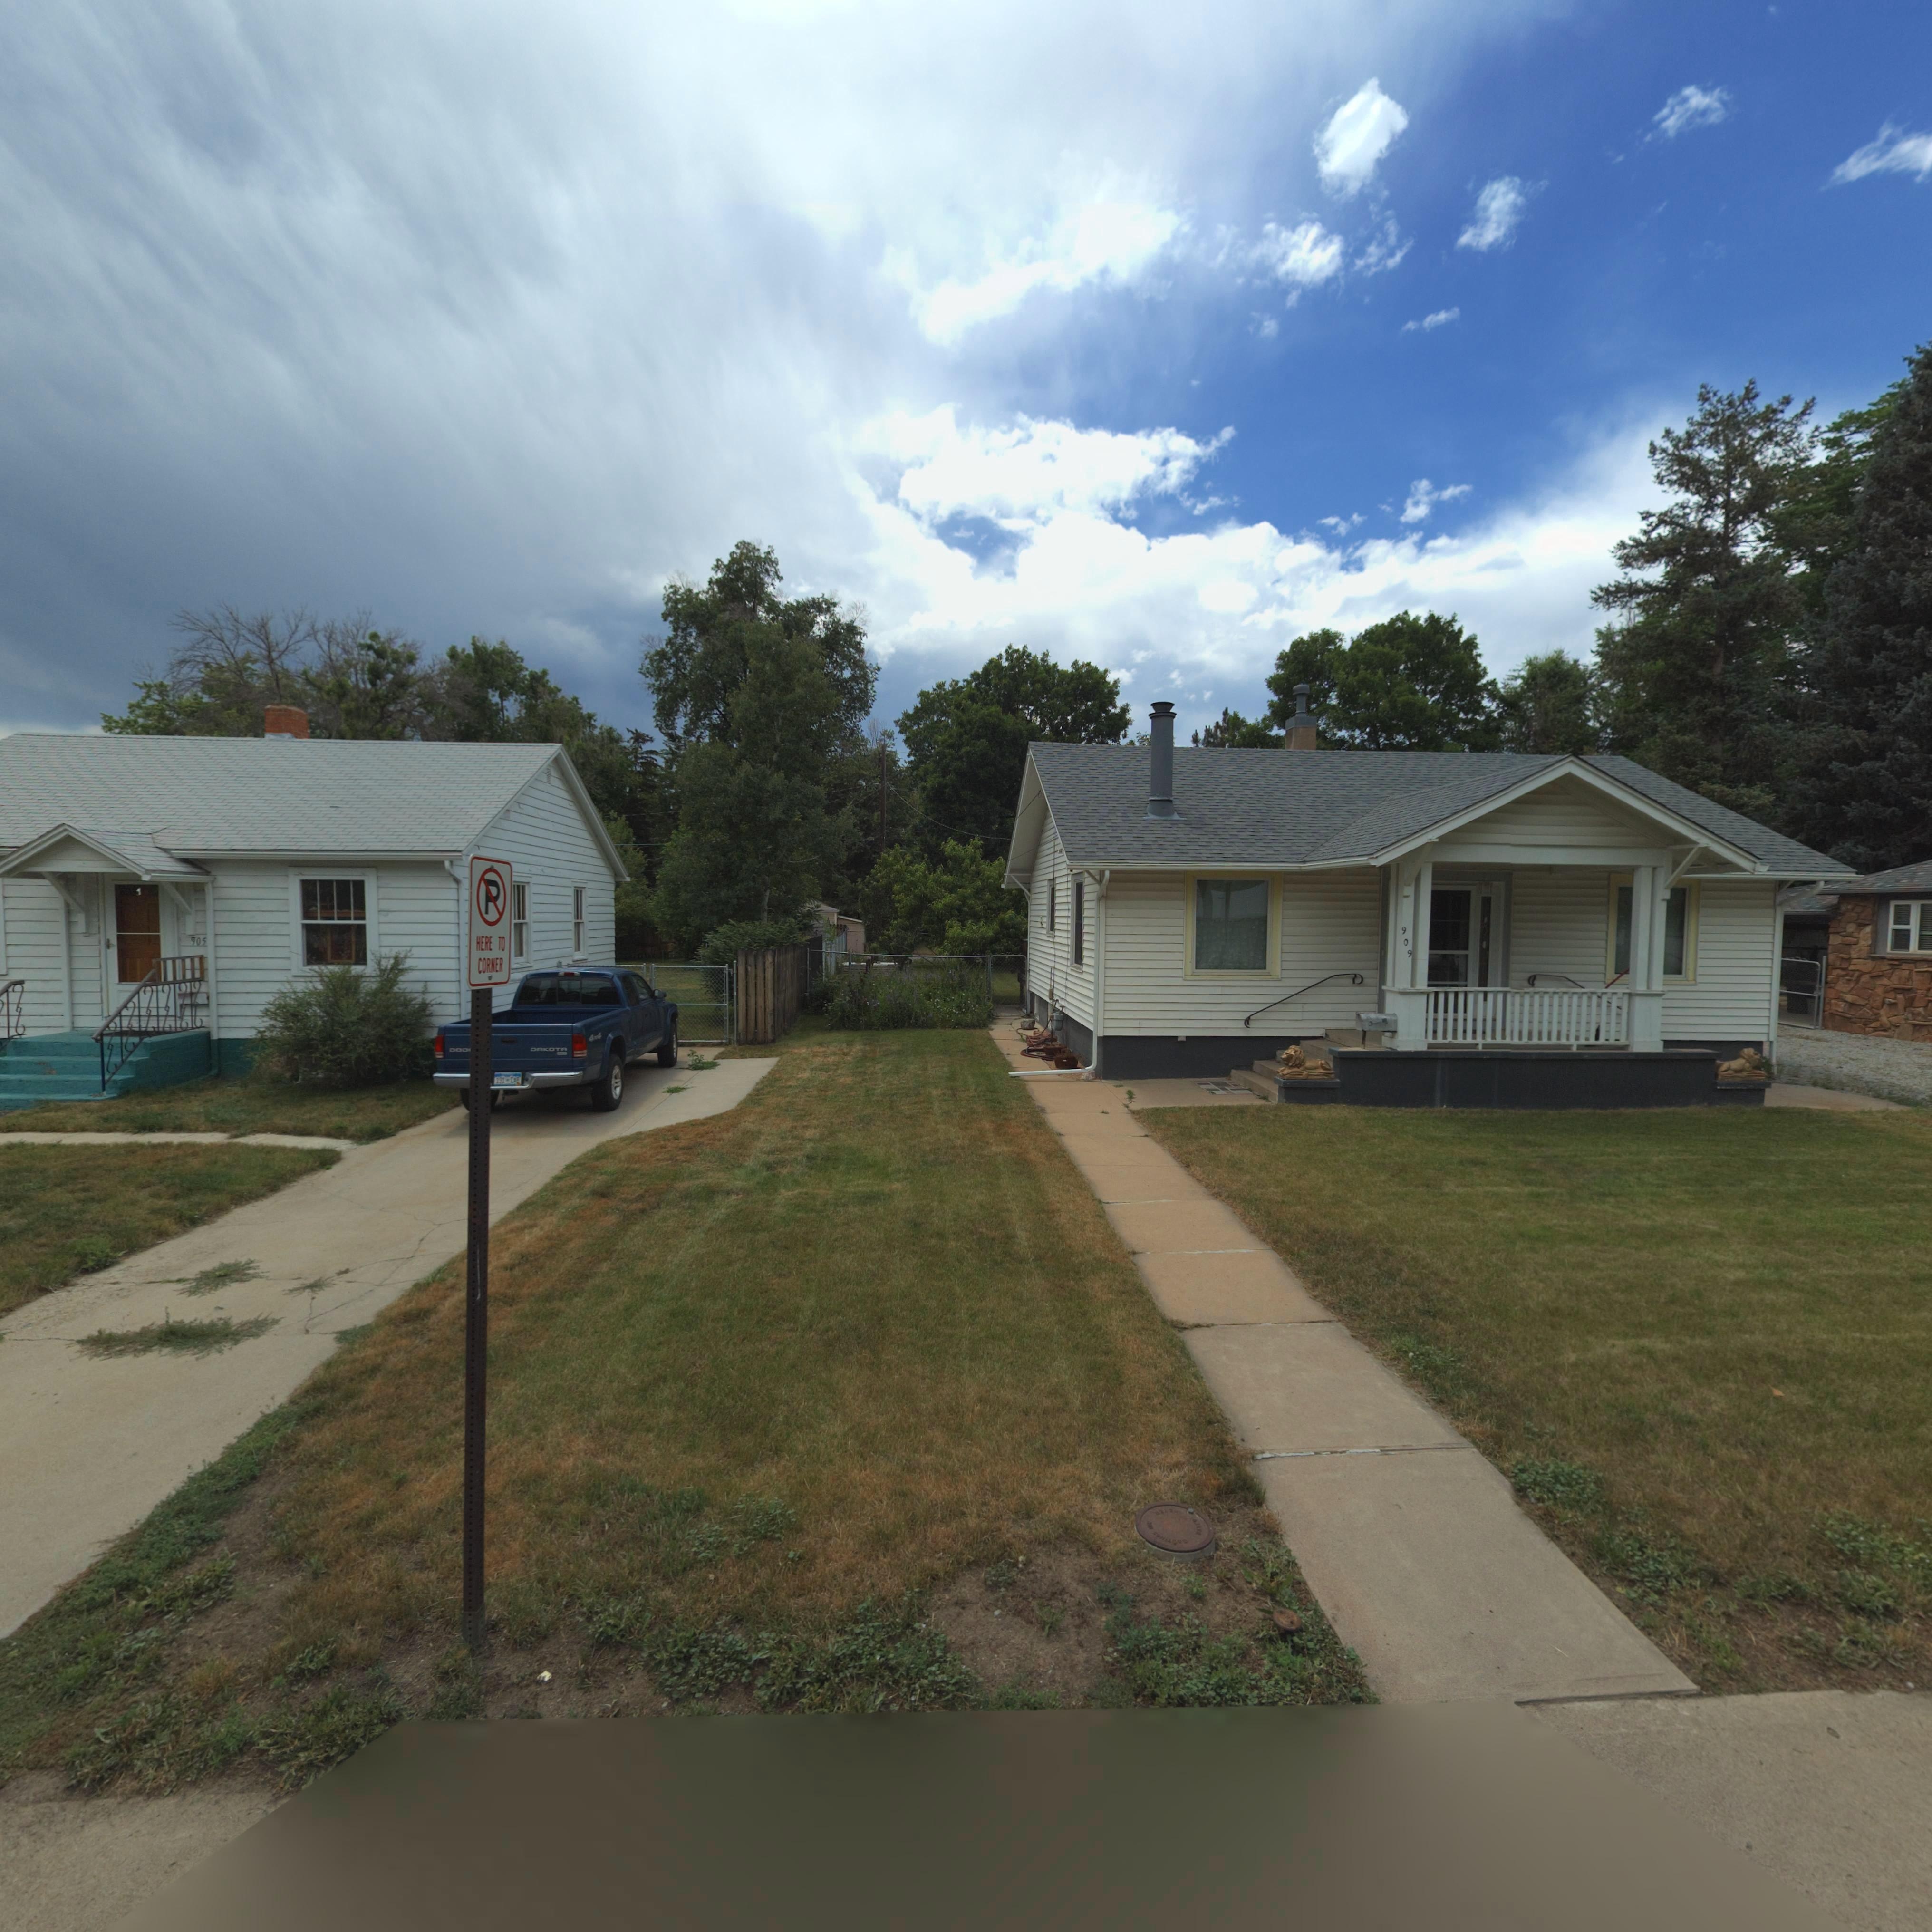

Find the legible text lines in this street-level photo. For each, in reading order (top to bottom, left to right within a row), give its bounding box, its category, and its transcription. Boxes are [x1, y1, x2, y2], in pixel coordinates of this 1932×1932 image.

[190, 937, 206, 946] StreetNumber: 905
[1401, 926, 1412, 958] StreetNumber: 909